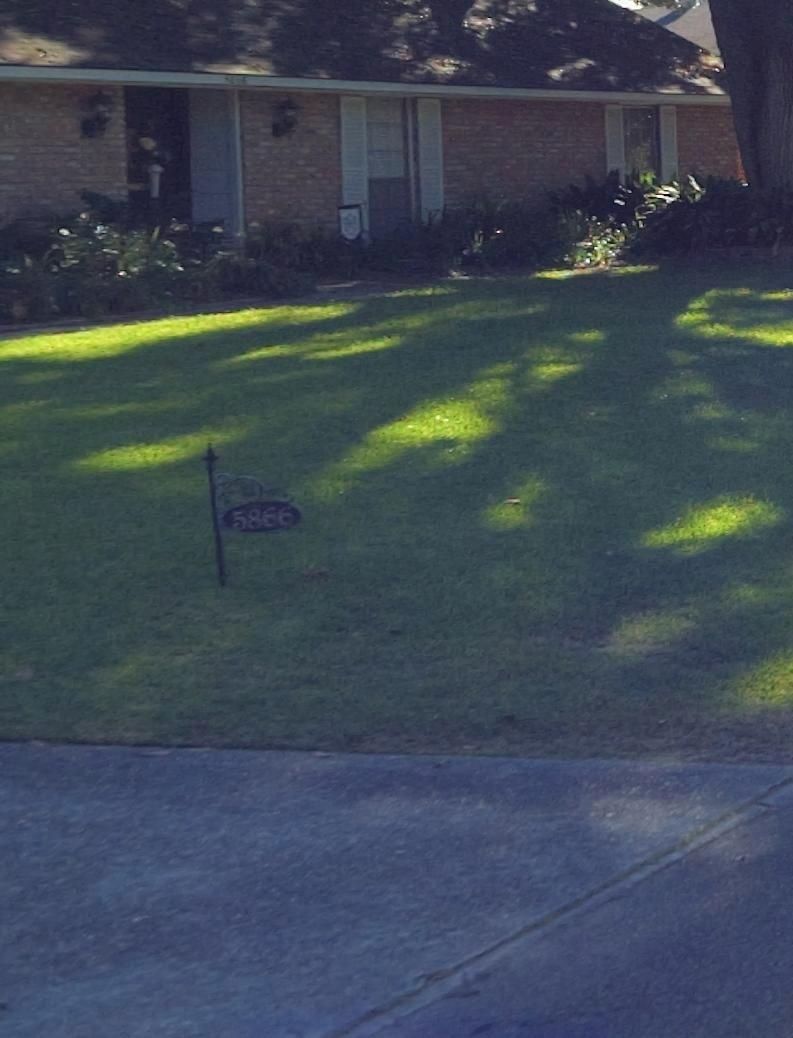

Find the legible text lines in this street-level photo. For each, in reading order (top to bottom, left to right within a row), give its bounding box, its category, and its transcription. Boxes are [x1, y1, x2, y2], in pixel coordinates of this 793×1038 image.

[230, 503, 296, 533] StreetNumber: 5866